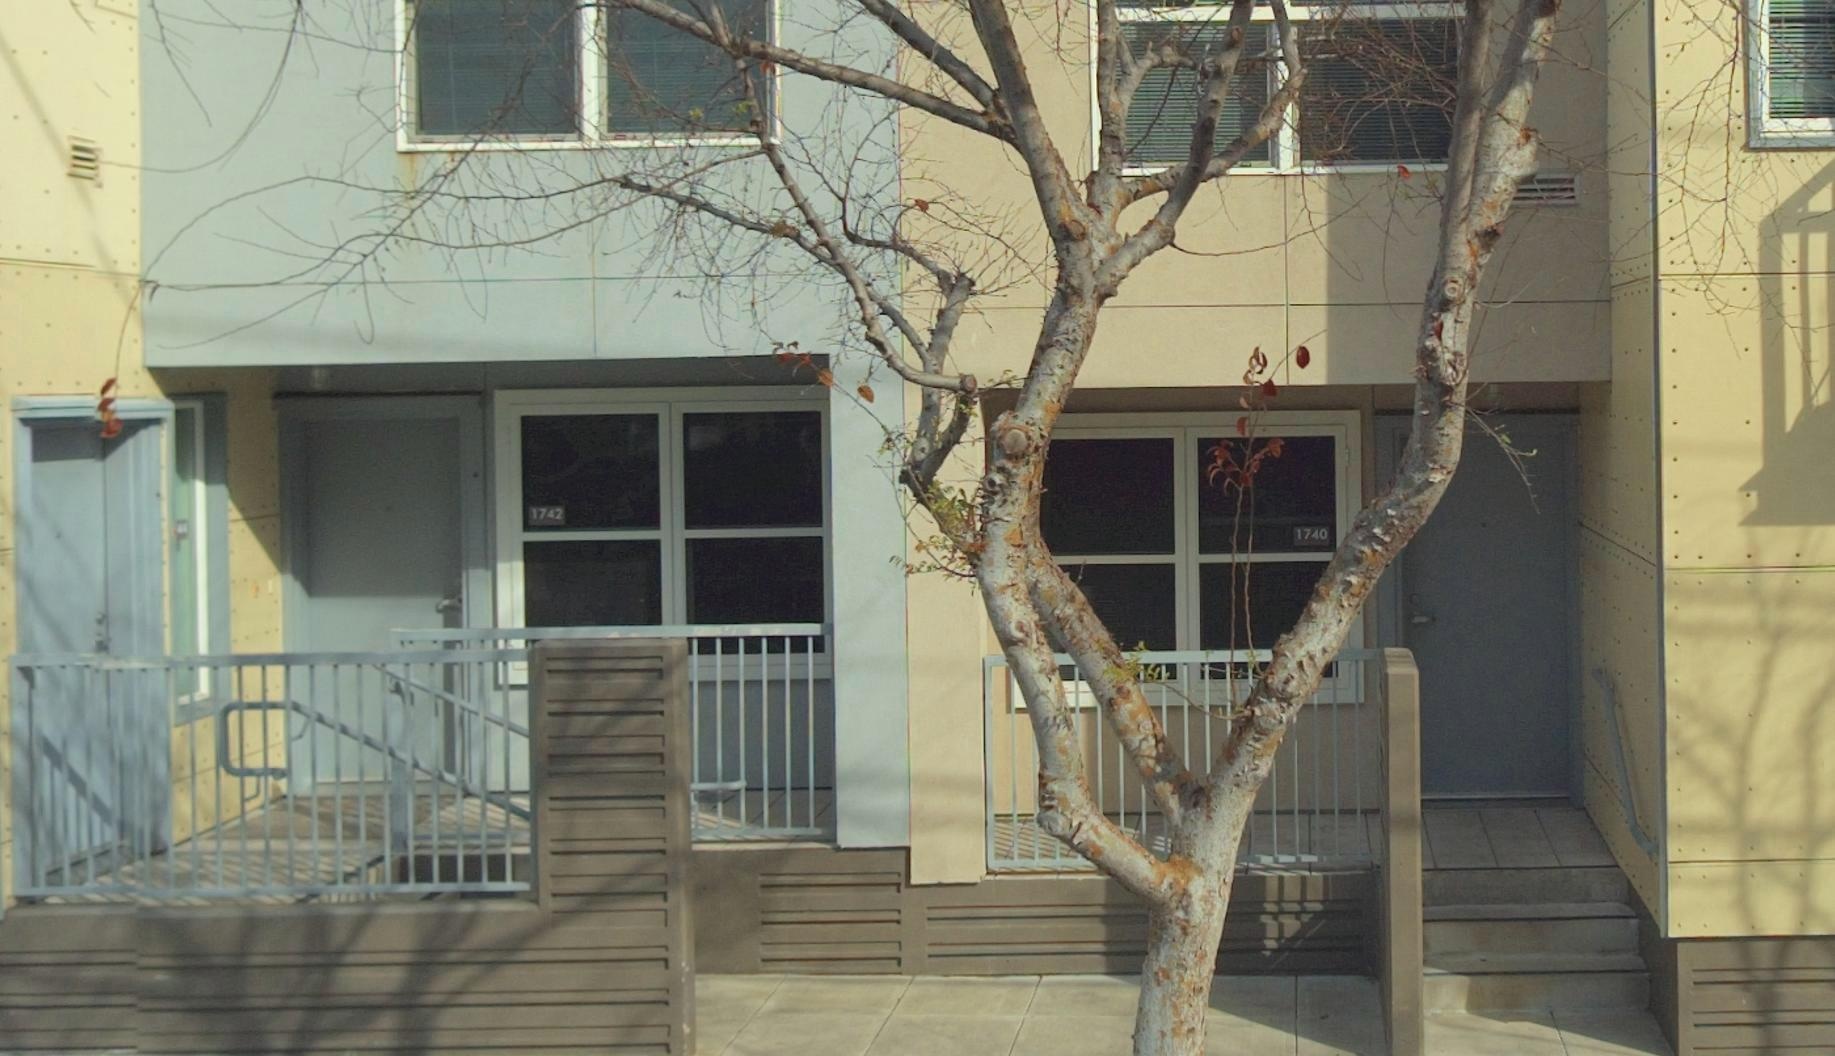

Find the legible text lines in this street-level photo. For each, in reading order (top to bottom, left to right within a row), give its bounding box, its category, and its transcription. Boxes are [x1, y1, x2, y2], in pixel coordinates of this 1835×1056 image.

[530, 506, 565, 522] StreetNumber: 1742
[1295, 526, 1329, 541] StreetNumber: 1740